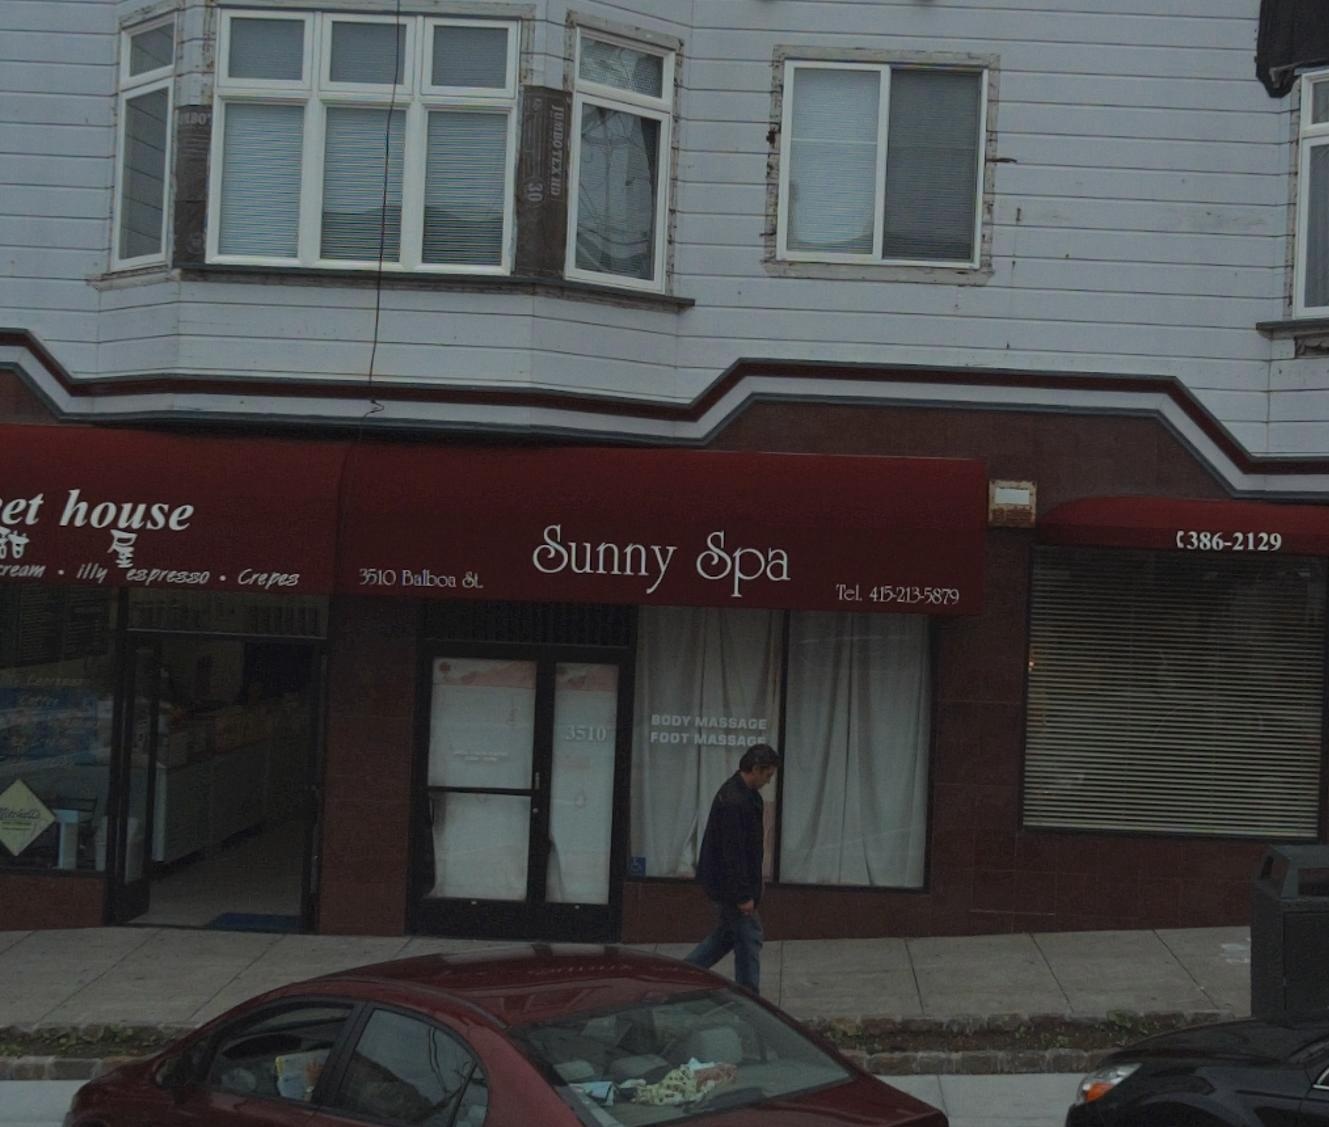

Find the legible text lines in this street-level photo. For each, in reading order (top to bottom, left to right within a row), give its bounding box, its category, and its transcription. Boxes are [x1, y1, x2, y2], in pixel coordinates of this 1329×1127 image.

[548, 102, 565, 199] None: JUMBO TEX H*
[524, 181, 544, 204] None: 30
[0, 490, 50, 527] BusinessName: et
[54, 484, 197, 534] BusinessName: house
[1184, 529, 1283, 553] None: 386-2129
[1, 564, 49, 580] None: ream
[73, 561, 112, 585] None: illy
[124, 566, 213, 588] None: espresso
[234, 565, 302, 591] None: Crepes
[357, 566, 399, 588] StreetNumber: 3510
[400, 567, 486, 590] StreetName: Balboa St.
[527, 522, 793, 600] BusinessName: Sunny Spa
[834, 581, 961, 607] None: Tel. 415-213-5879
[562, 723, 608, 743] StreetNumber: 3510
[649, 730, 748, 749] None: FOOT MASSA
[650, 712, 769, 731] None: BODY MASSAGE